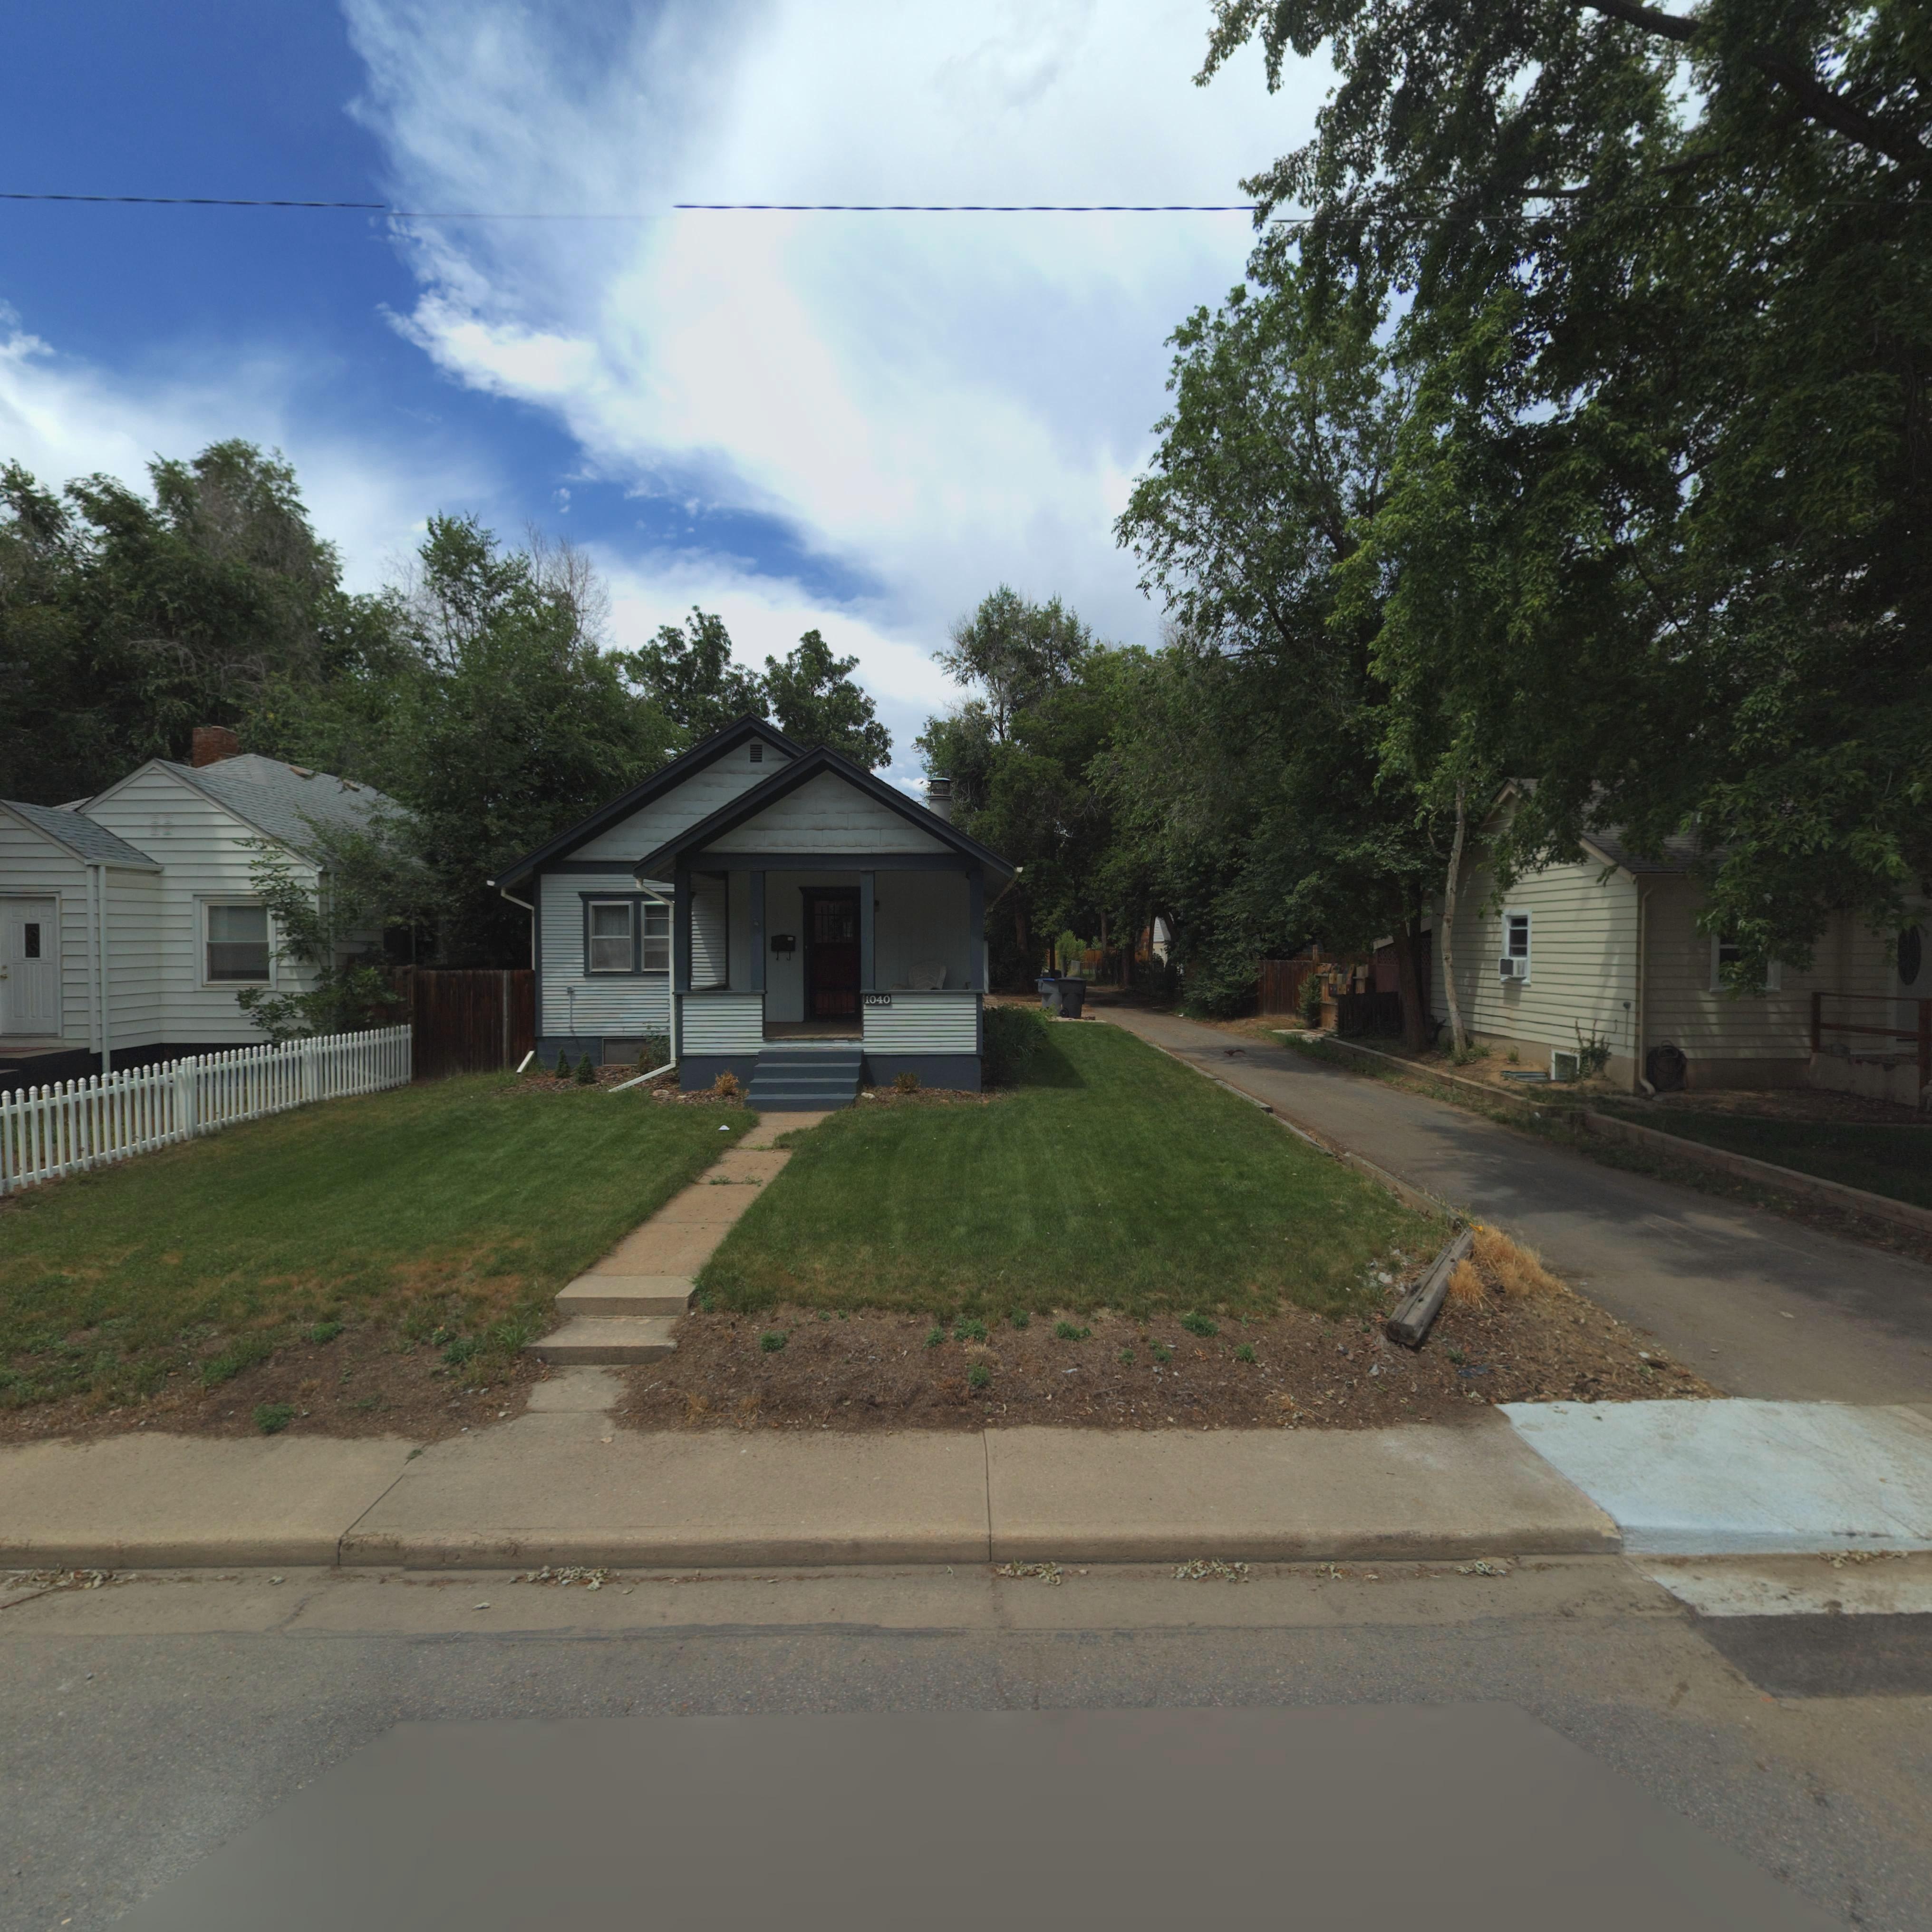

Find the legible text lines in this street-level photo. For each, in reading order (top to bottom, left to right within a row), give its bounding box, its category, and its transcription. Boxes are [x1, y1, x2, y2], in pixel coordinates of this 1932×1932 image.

[865, 995, 891, 1004] StreetNumber: 1040